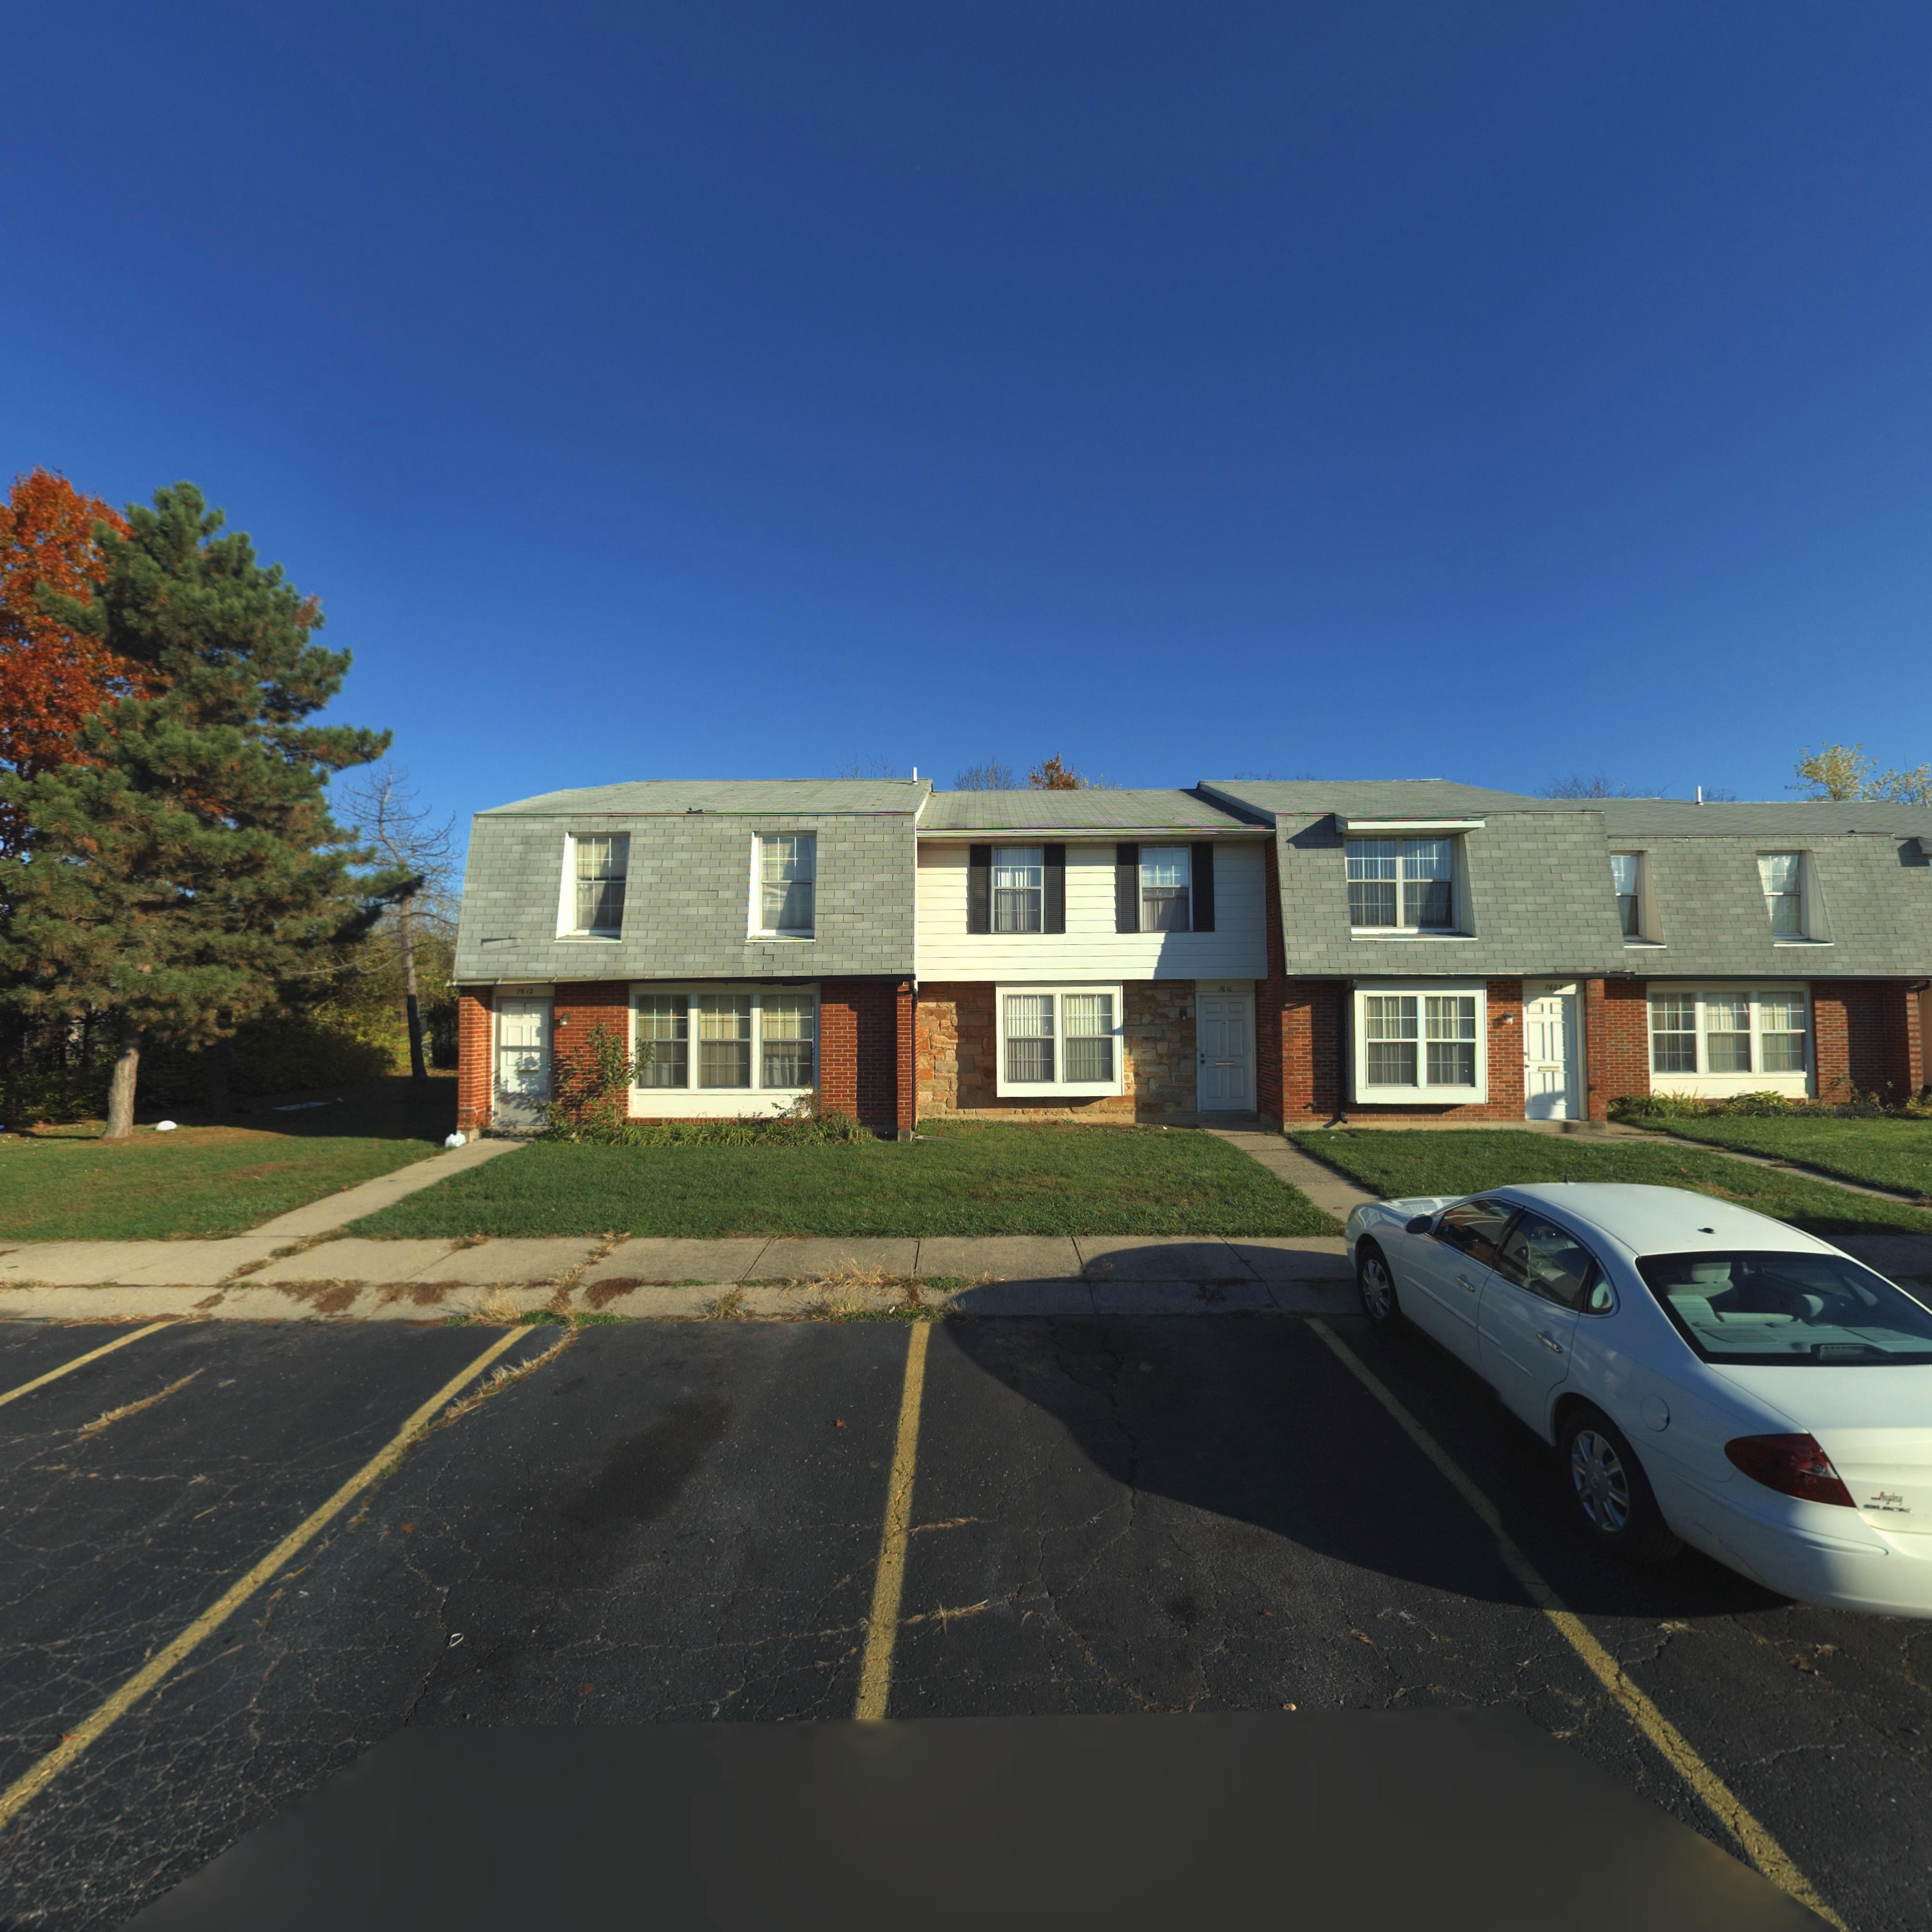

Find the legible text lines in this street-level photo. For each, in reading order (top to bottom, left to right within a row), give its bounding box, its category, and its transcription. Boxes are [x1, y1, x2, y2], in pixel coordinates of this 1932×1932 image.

[516, 986, 535, 996] StreetNumber: 7612
[1217, 985, 1234, 993] StreetNumber: 7610
[1544, 983, 1565, 992] StreetNumber: 760*